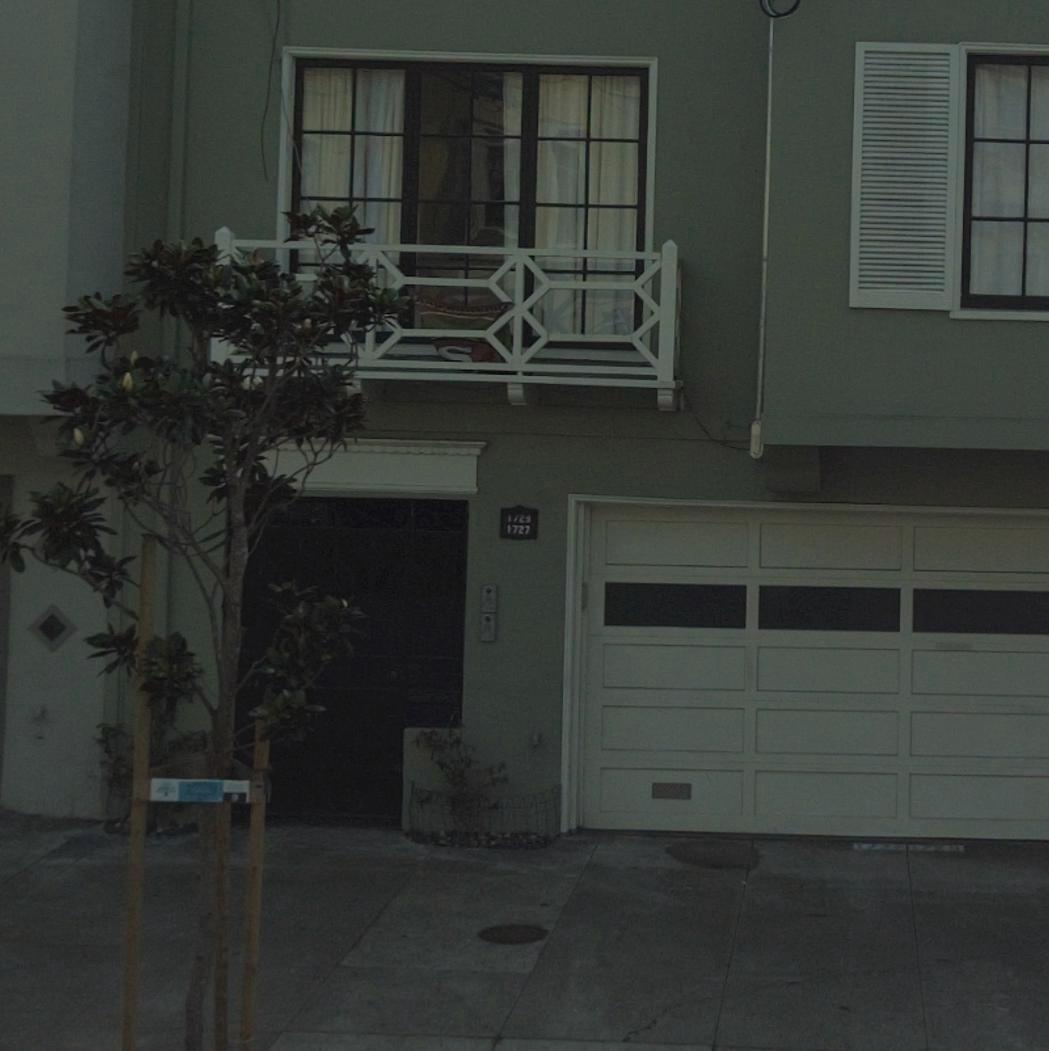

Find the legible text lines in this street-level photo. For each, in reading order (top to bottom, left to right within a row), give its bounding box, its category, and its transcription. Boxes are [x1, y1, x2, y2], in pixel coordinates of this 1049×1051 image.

[506, 512, 534, 526] StreetNumber: 1729
[505, 523, 533, 537] None: 1727